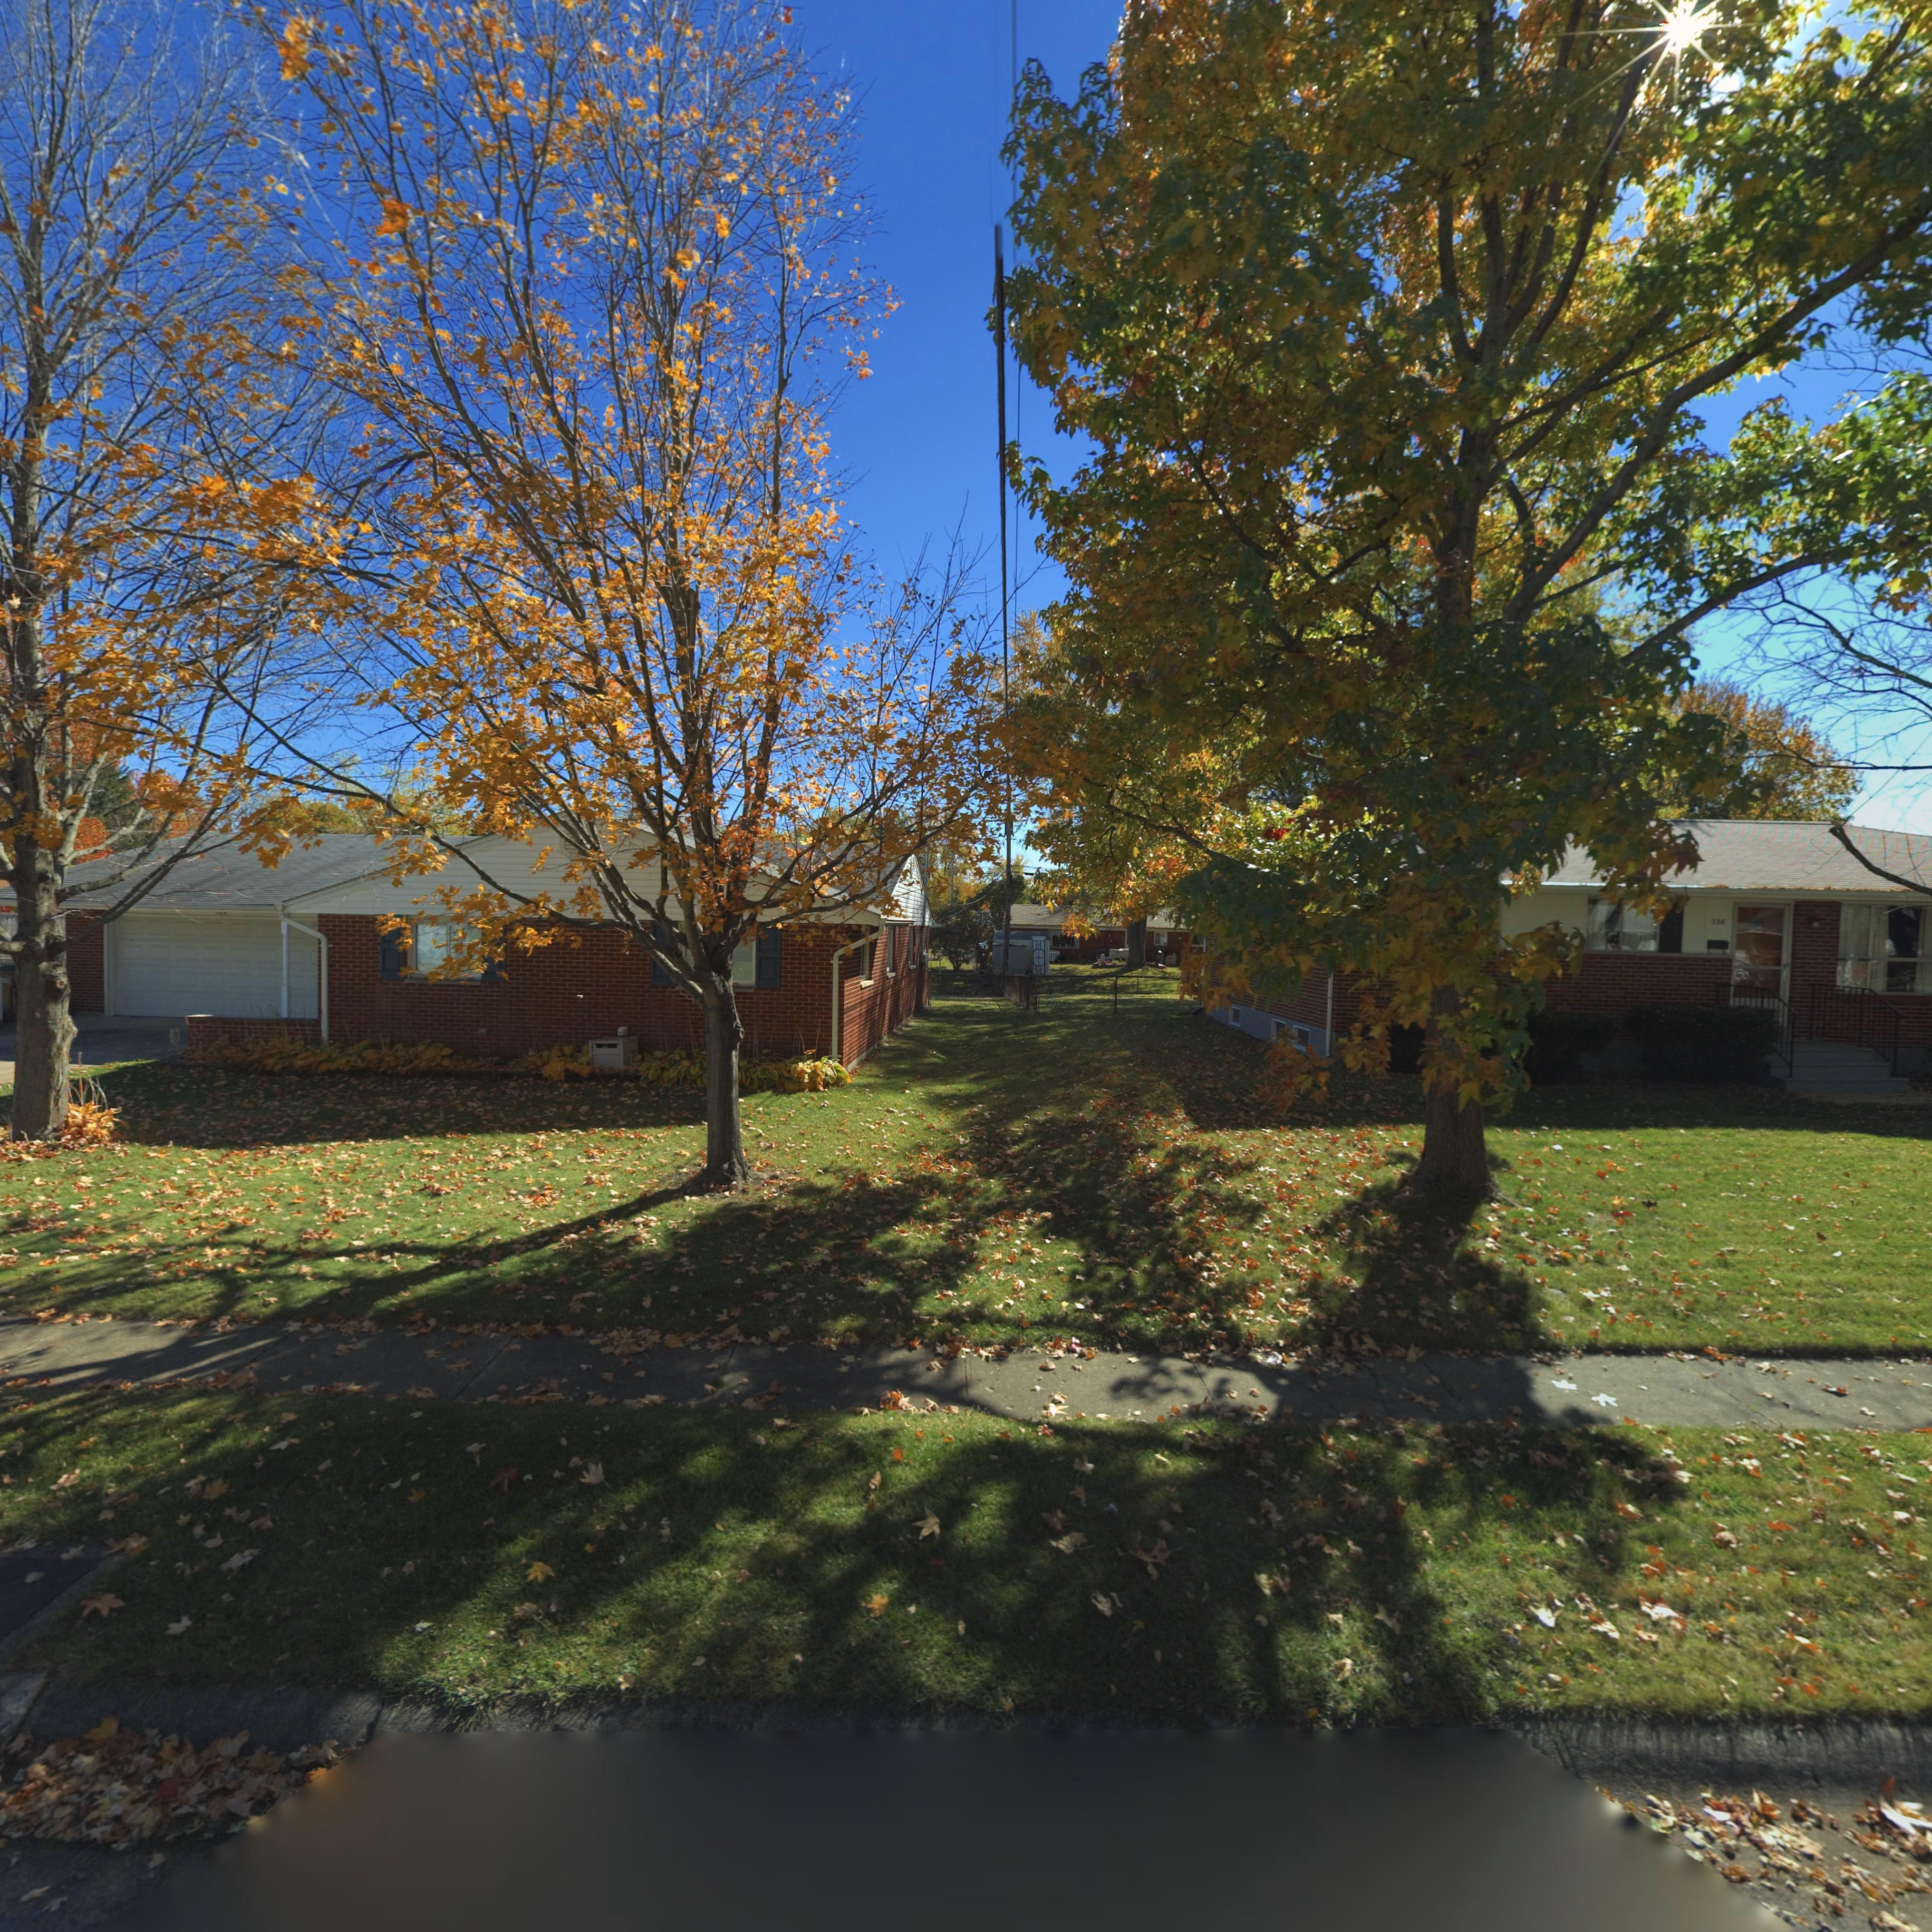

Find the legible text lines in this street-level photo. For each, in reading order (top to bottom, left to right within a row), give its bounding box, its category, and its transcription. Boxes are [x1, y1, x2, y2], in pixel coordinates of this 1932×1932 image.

[1710, 918, 1727, 926] StreetNumber: 308